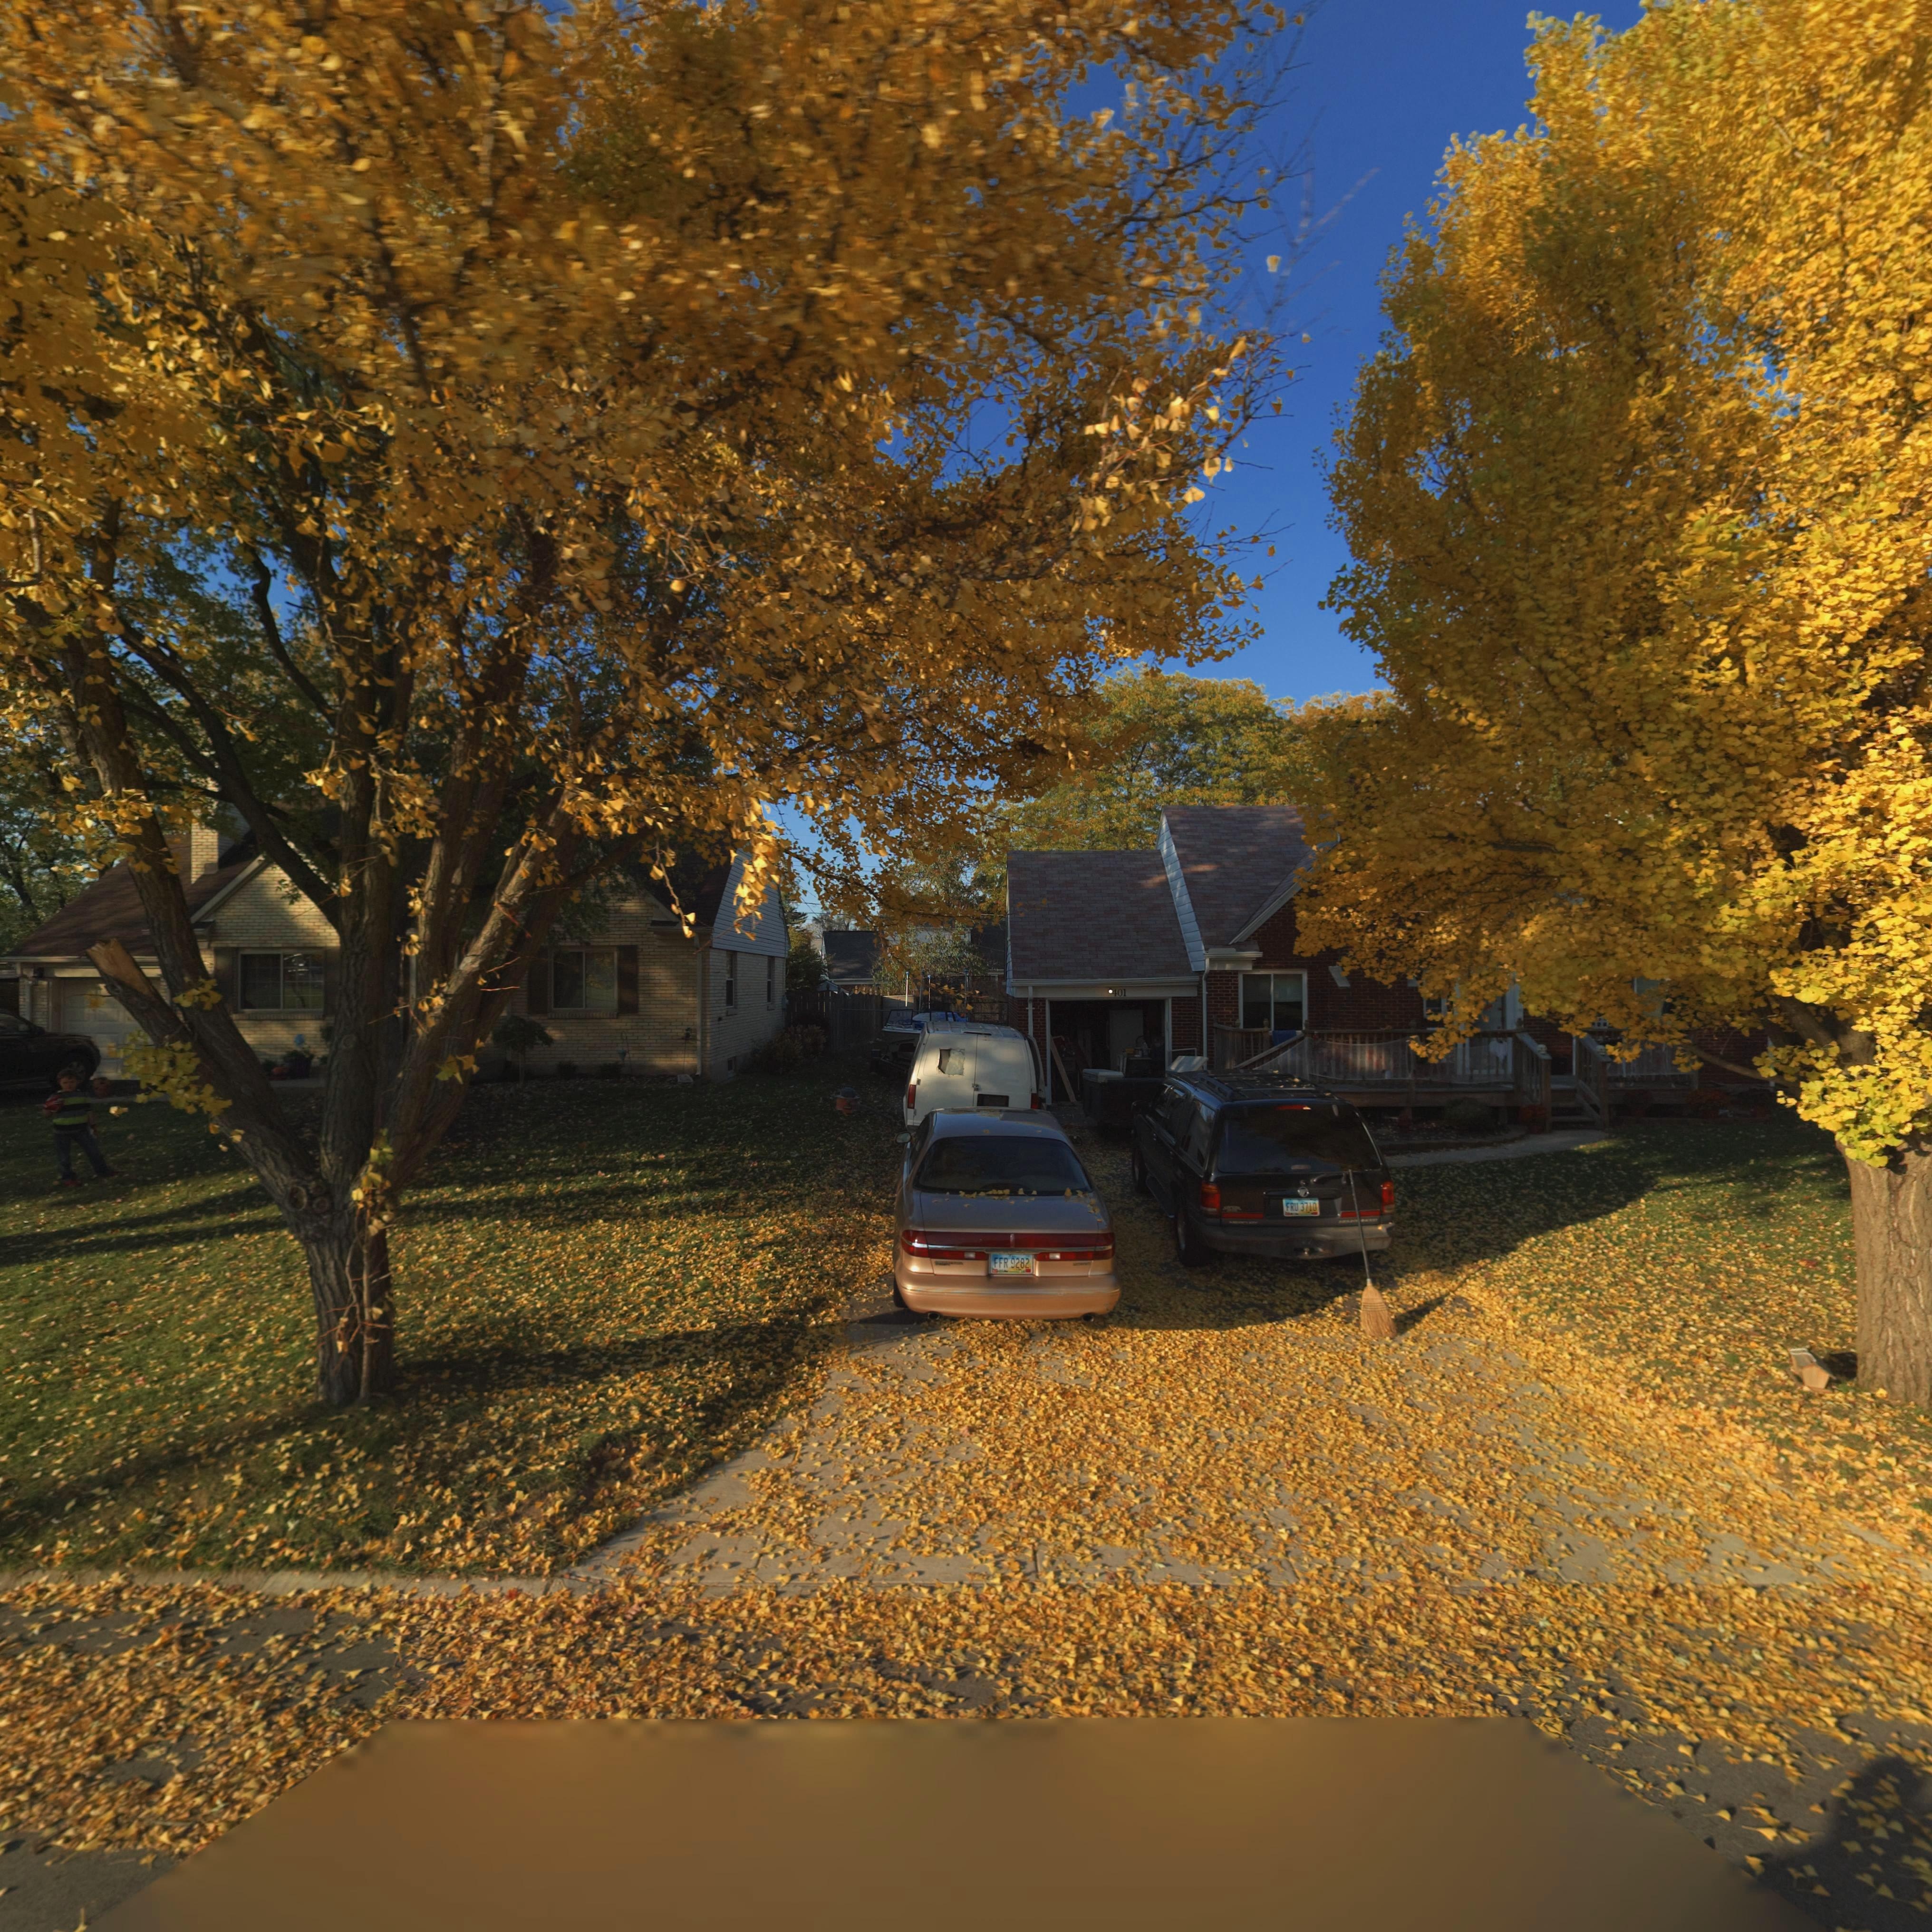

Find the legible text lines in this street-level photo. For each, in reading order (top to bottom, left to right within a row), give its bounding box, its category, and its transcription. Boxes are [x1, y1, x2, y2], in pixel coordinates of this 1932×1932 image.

[1111, 988, 1127, 997] StreetNumber: 401